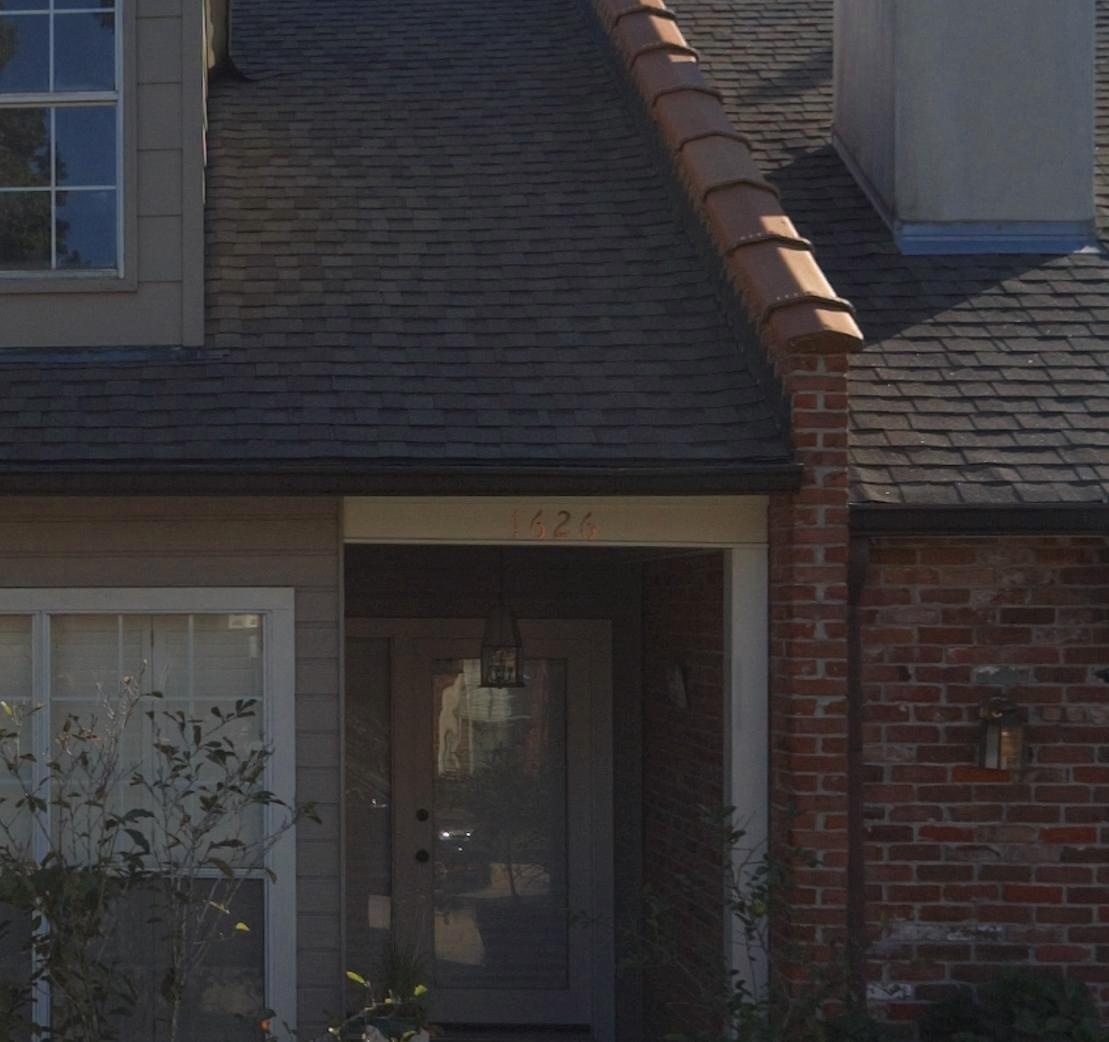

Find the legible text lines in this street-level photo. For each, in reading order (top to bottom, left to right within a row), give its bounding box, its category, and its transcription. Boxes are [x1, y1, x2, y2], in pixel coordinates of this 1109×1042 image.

[507, 506, 599, 541] StreetNumber: 1626